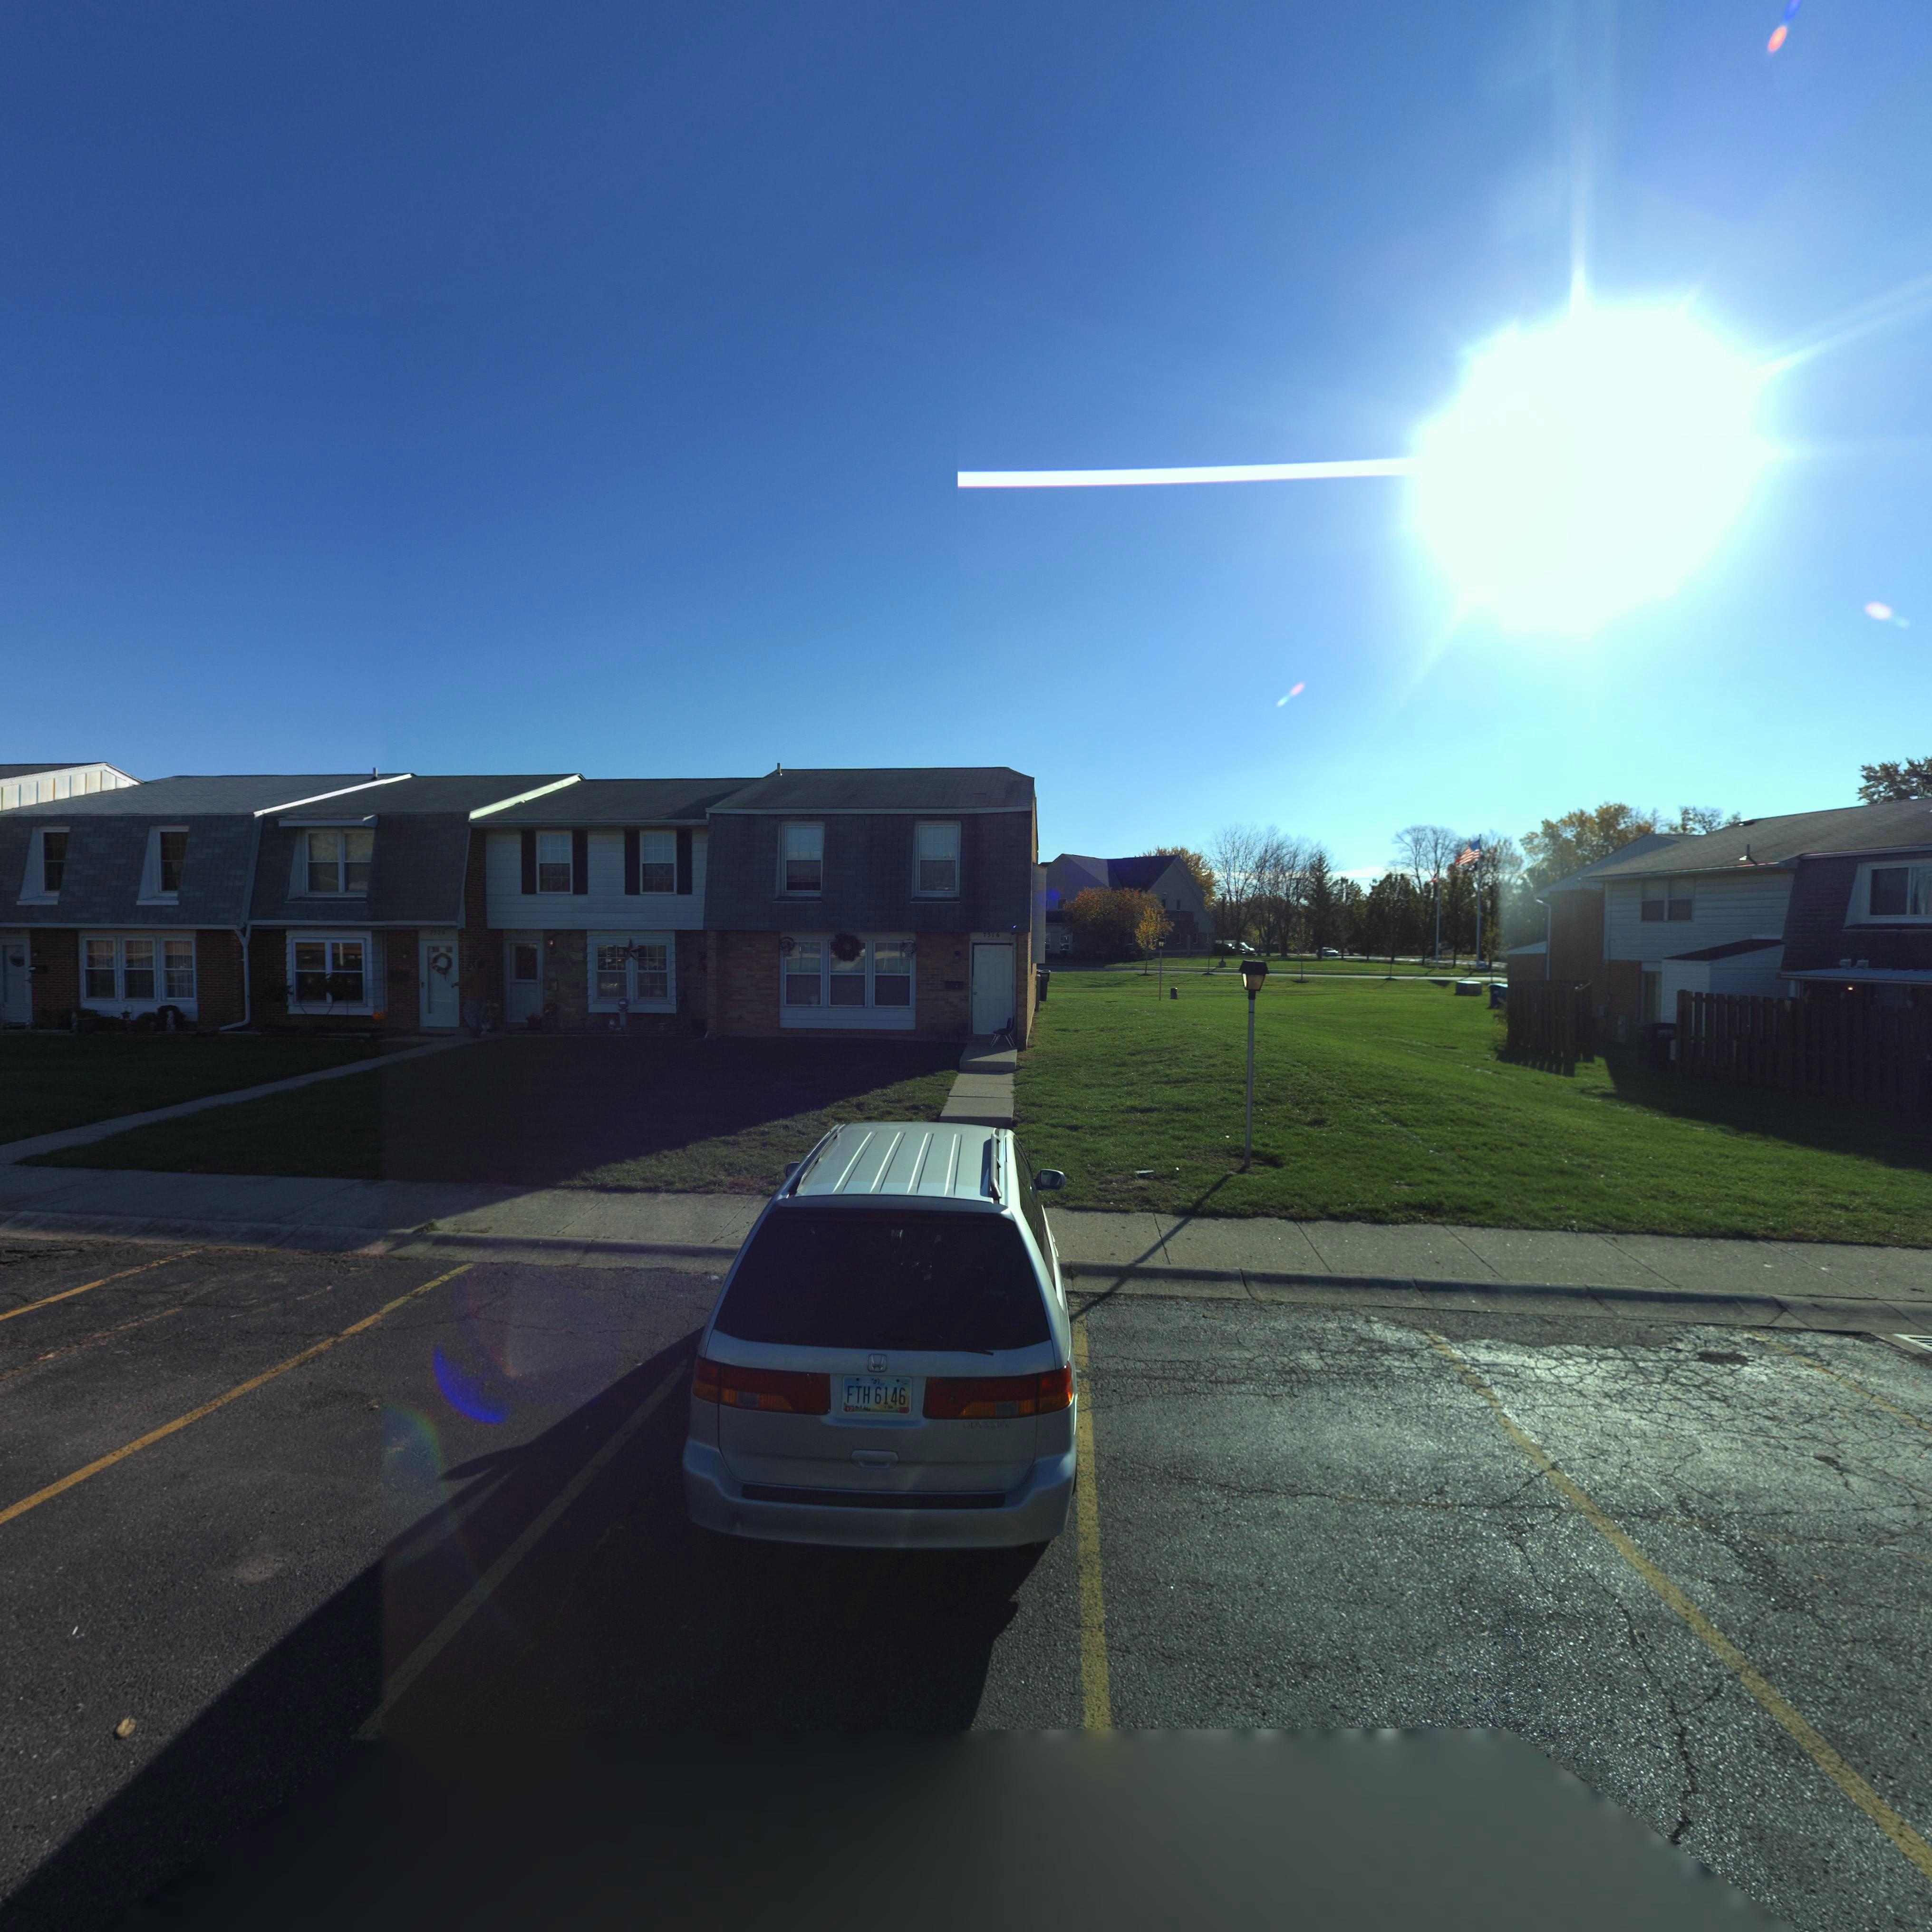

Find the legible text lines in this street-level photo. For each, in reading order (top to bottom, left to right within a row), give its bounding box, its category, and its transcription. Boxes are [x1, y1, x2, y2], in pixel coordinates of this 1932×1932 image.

[5, 927, 20, 934] StreetNumber: *522
[430, 929, 446, 935] StreetNumber: 7520
[515, 930, 528, 936] StreetNumber: 751*
[983, 932, 1000, 938] StreetNumber: 7516